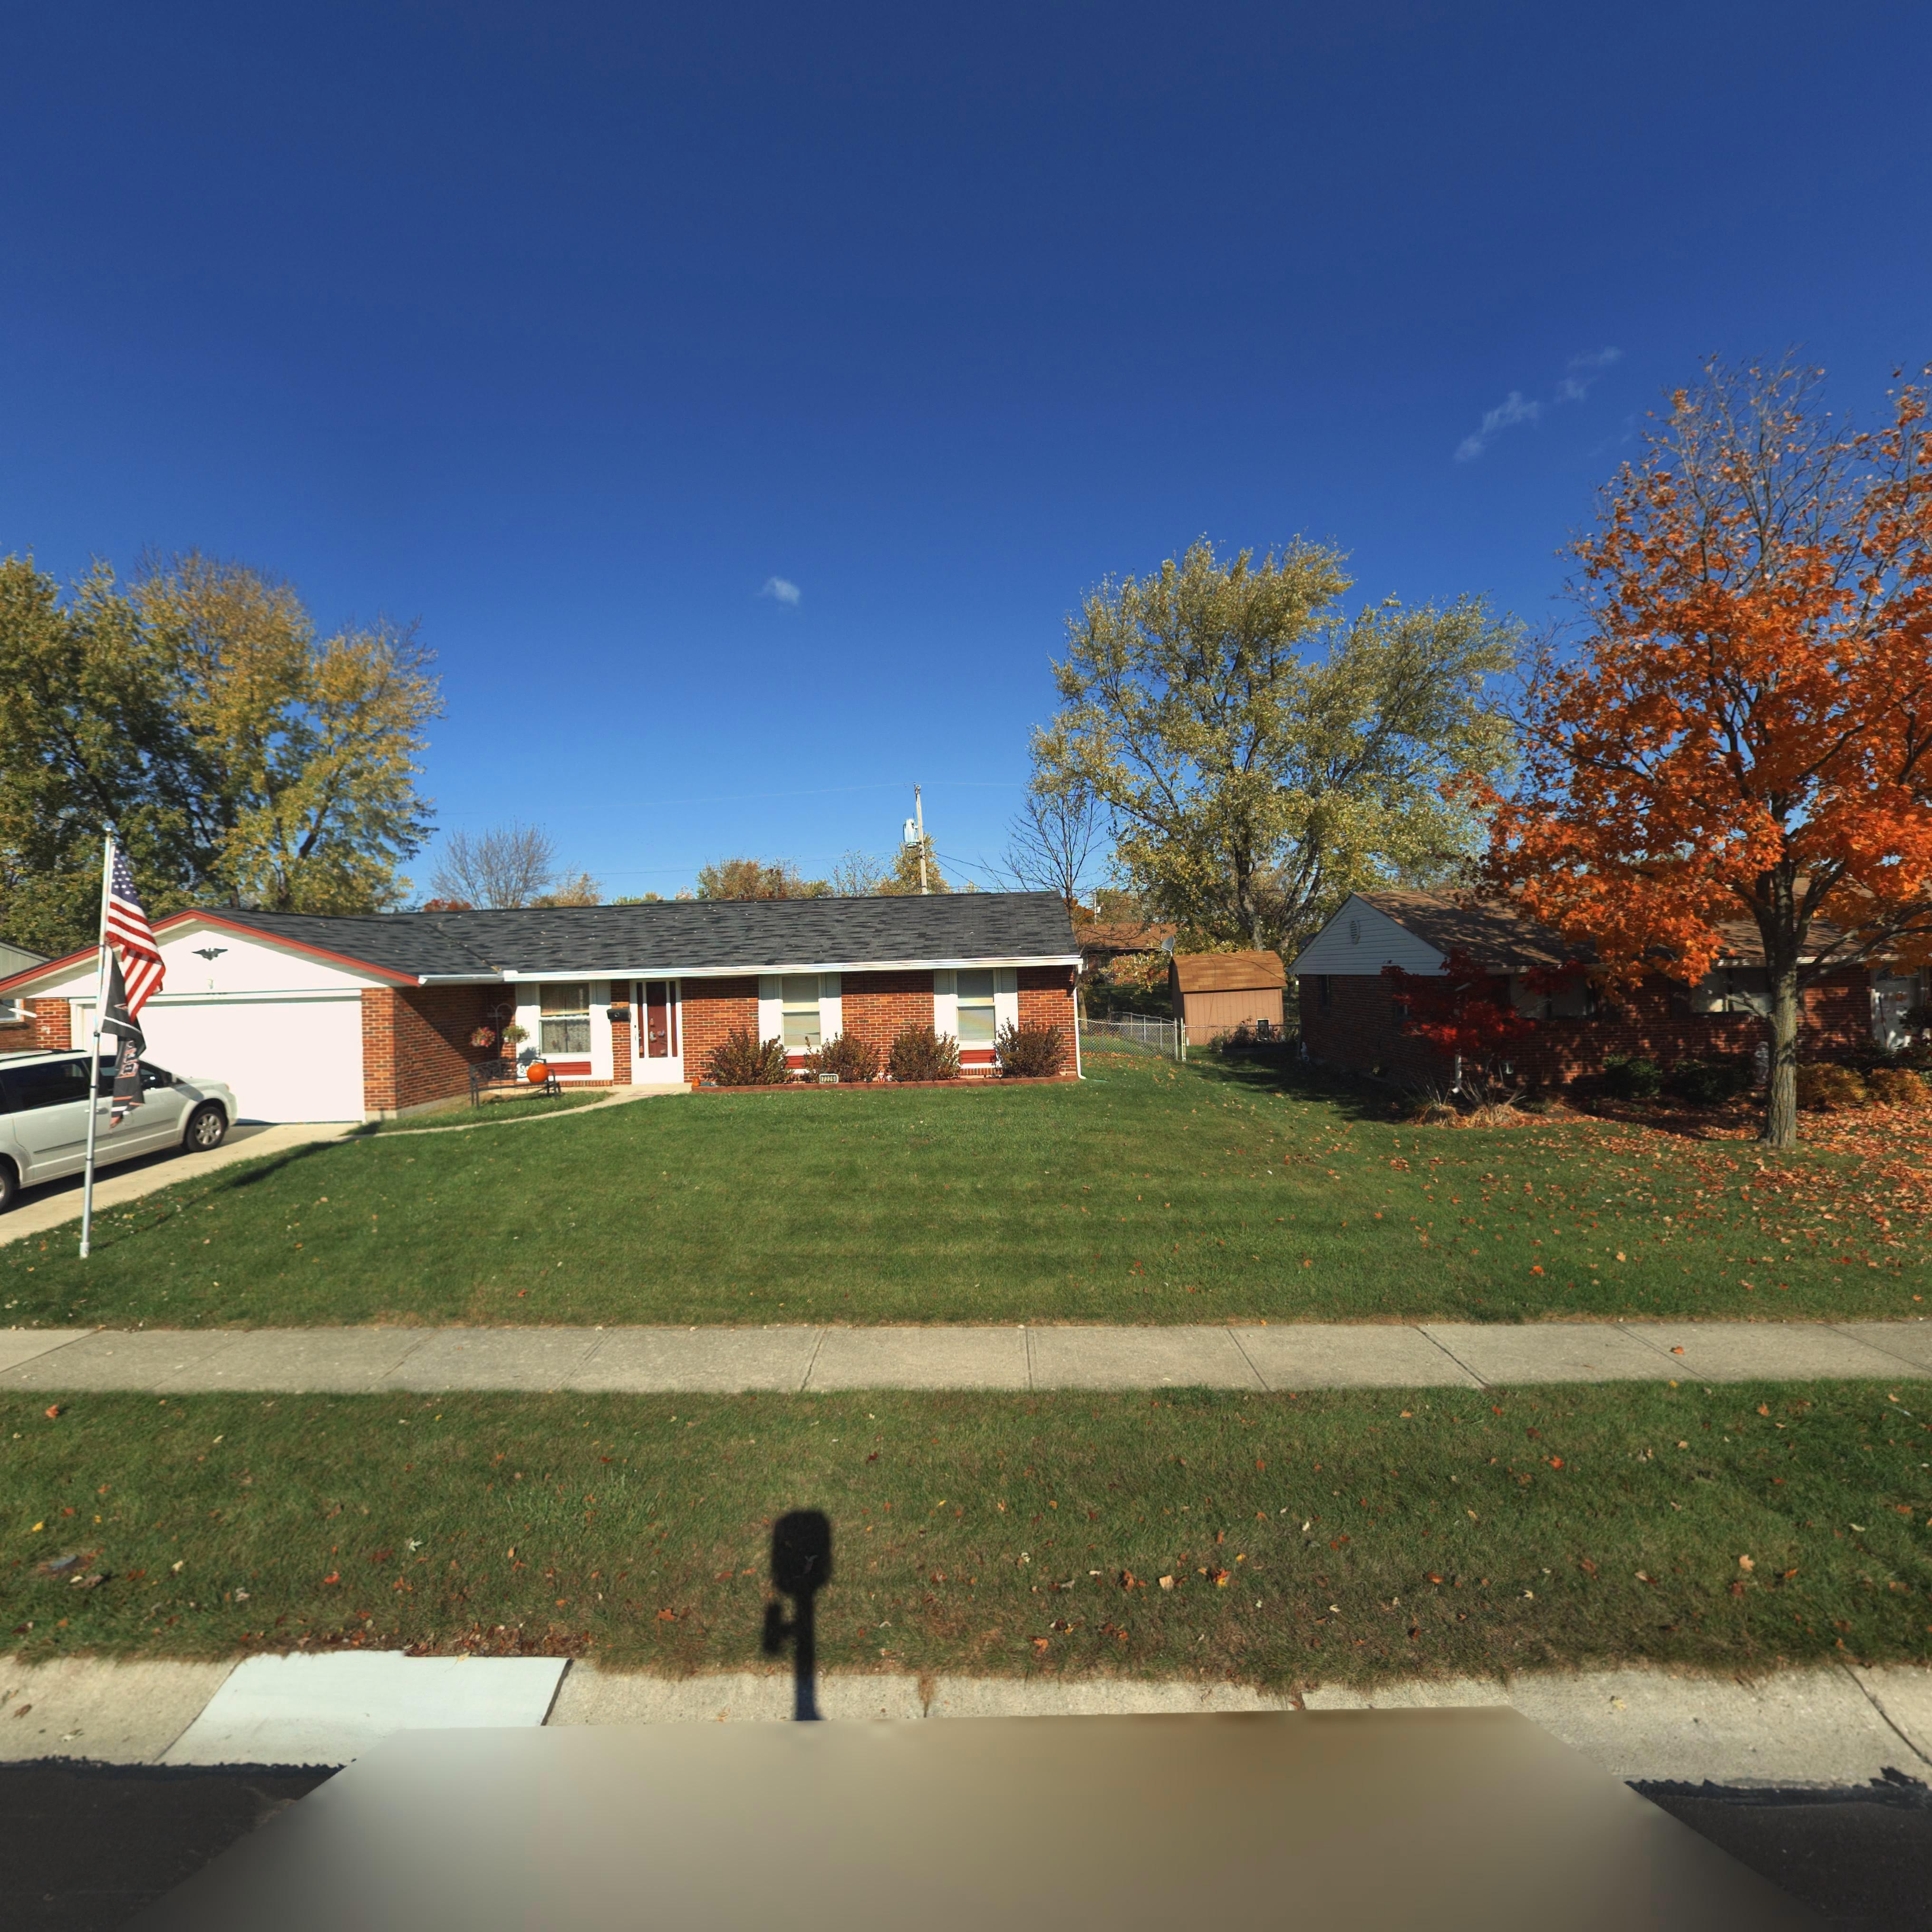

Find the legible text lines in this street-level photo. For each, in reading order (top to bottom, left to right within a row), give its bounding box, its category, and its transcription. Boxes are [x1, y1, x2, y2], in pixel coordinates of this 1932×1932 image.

[821, 1075, 835, 1083] StreetNumber: 7229